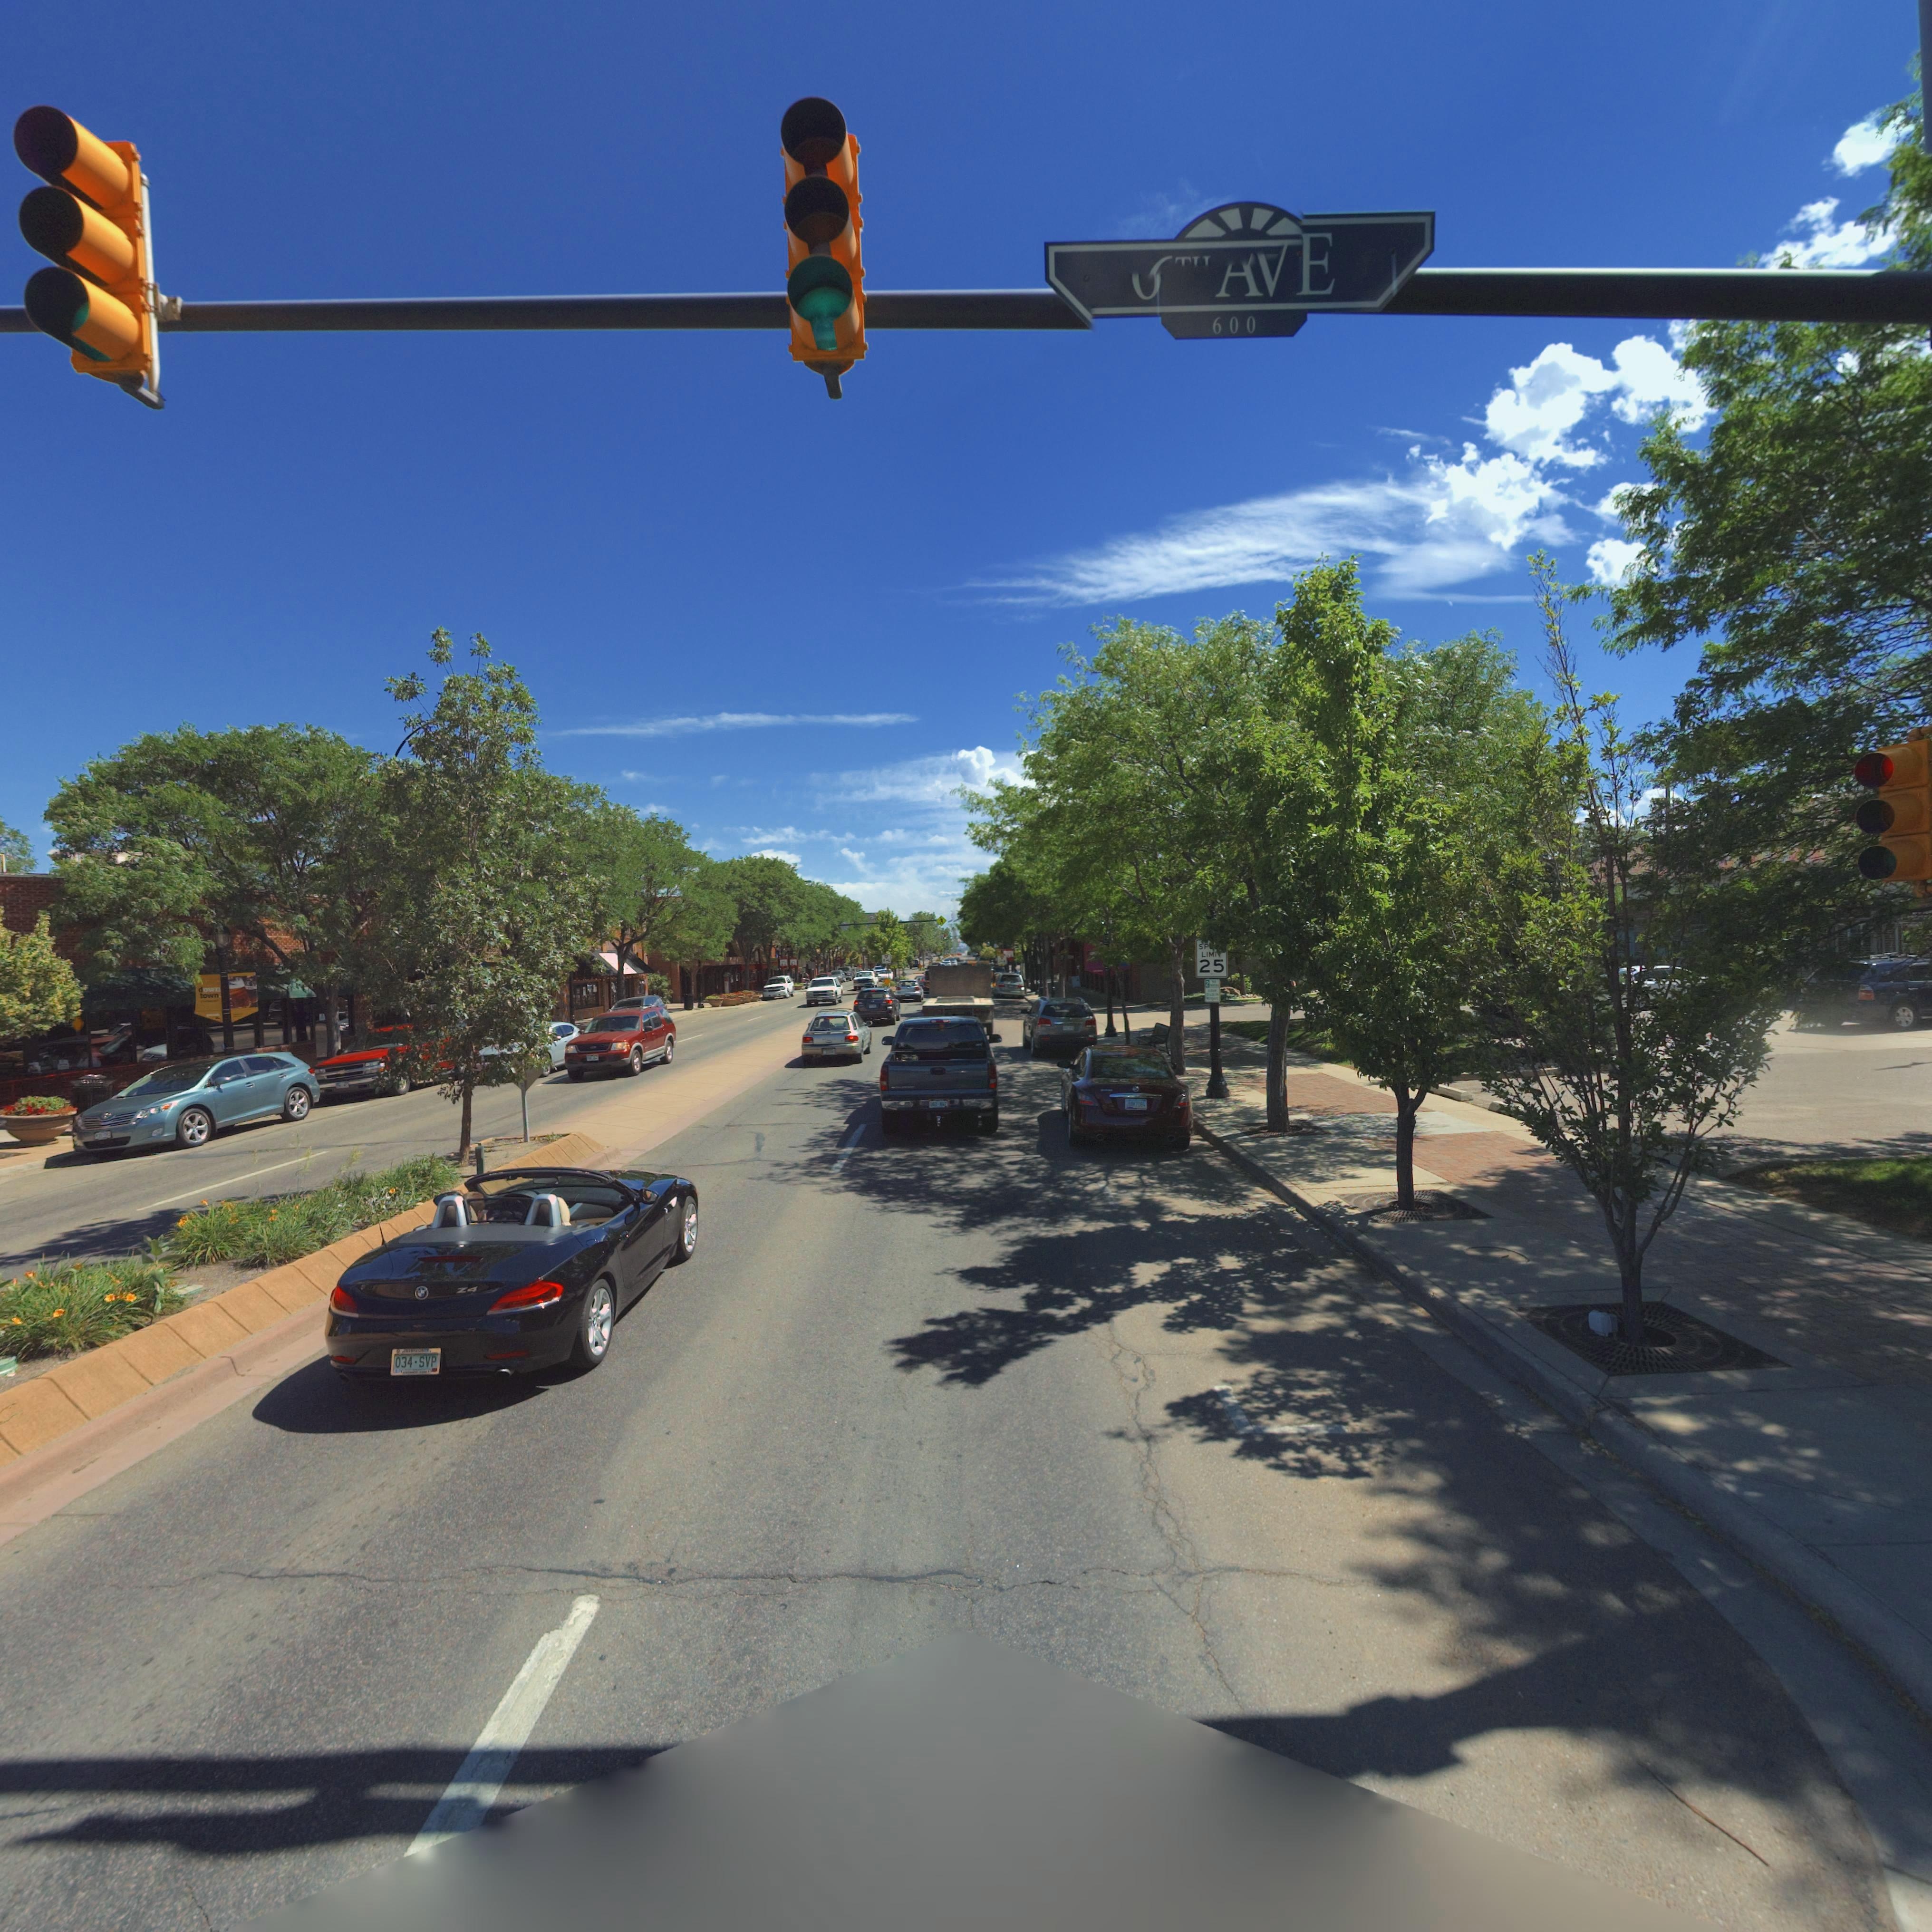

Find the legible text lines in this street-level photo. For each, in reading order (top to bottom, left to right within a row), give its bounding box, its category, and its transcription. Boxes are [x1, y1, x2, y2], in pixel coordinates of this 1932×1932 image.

[1130, 244, 1289, 301] StreetName: *** *V
[1297, 232, 1336, 295] StreetName: E
[1212, 314, 1256, 335] StreetNumberRange: 600